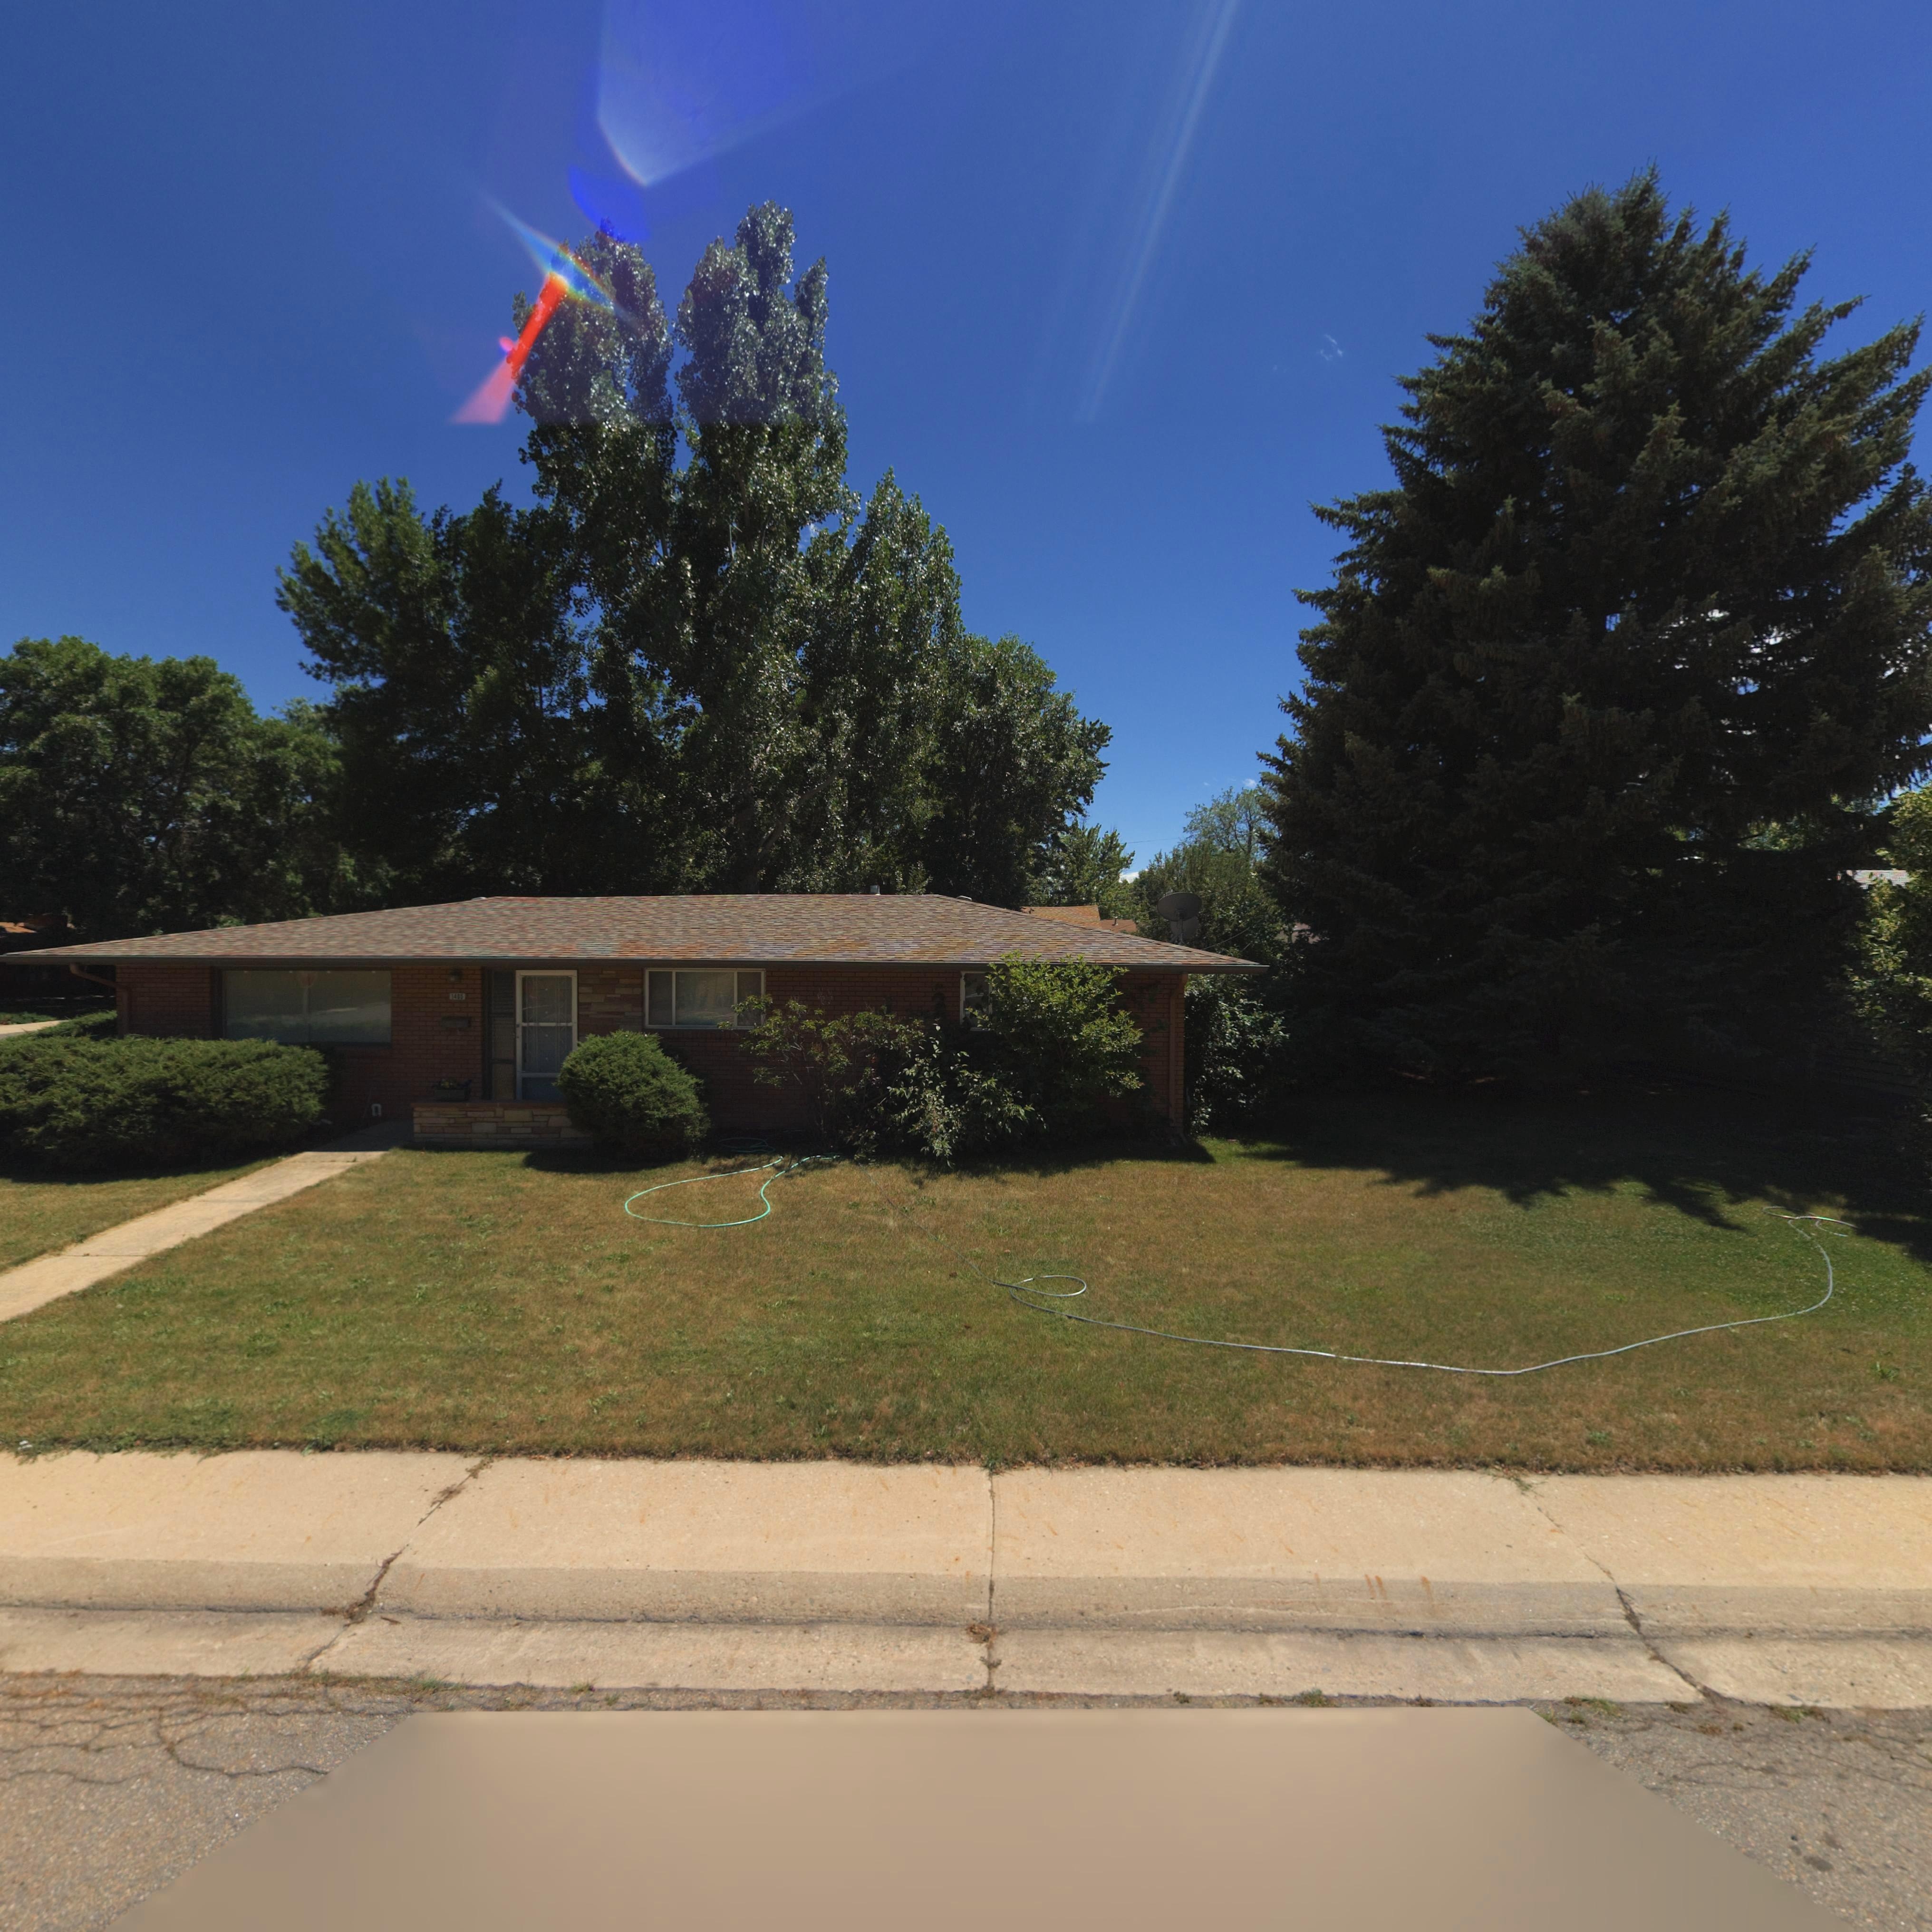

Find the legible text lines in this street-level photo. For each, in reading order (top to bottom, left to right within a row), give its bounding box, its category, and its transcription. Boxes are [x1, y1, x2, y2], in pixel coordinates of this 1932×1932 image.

[451, 993, 464, 1000] StreetNumber: 1405